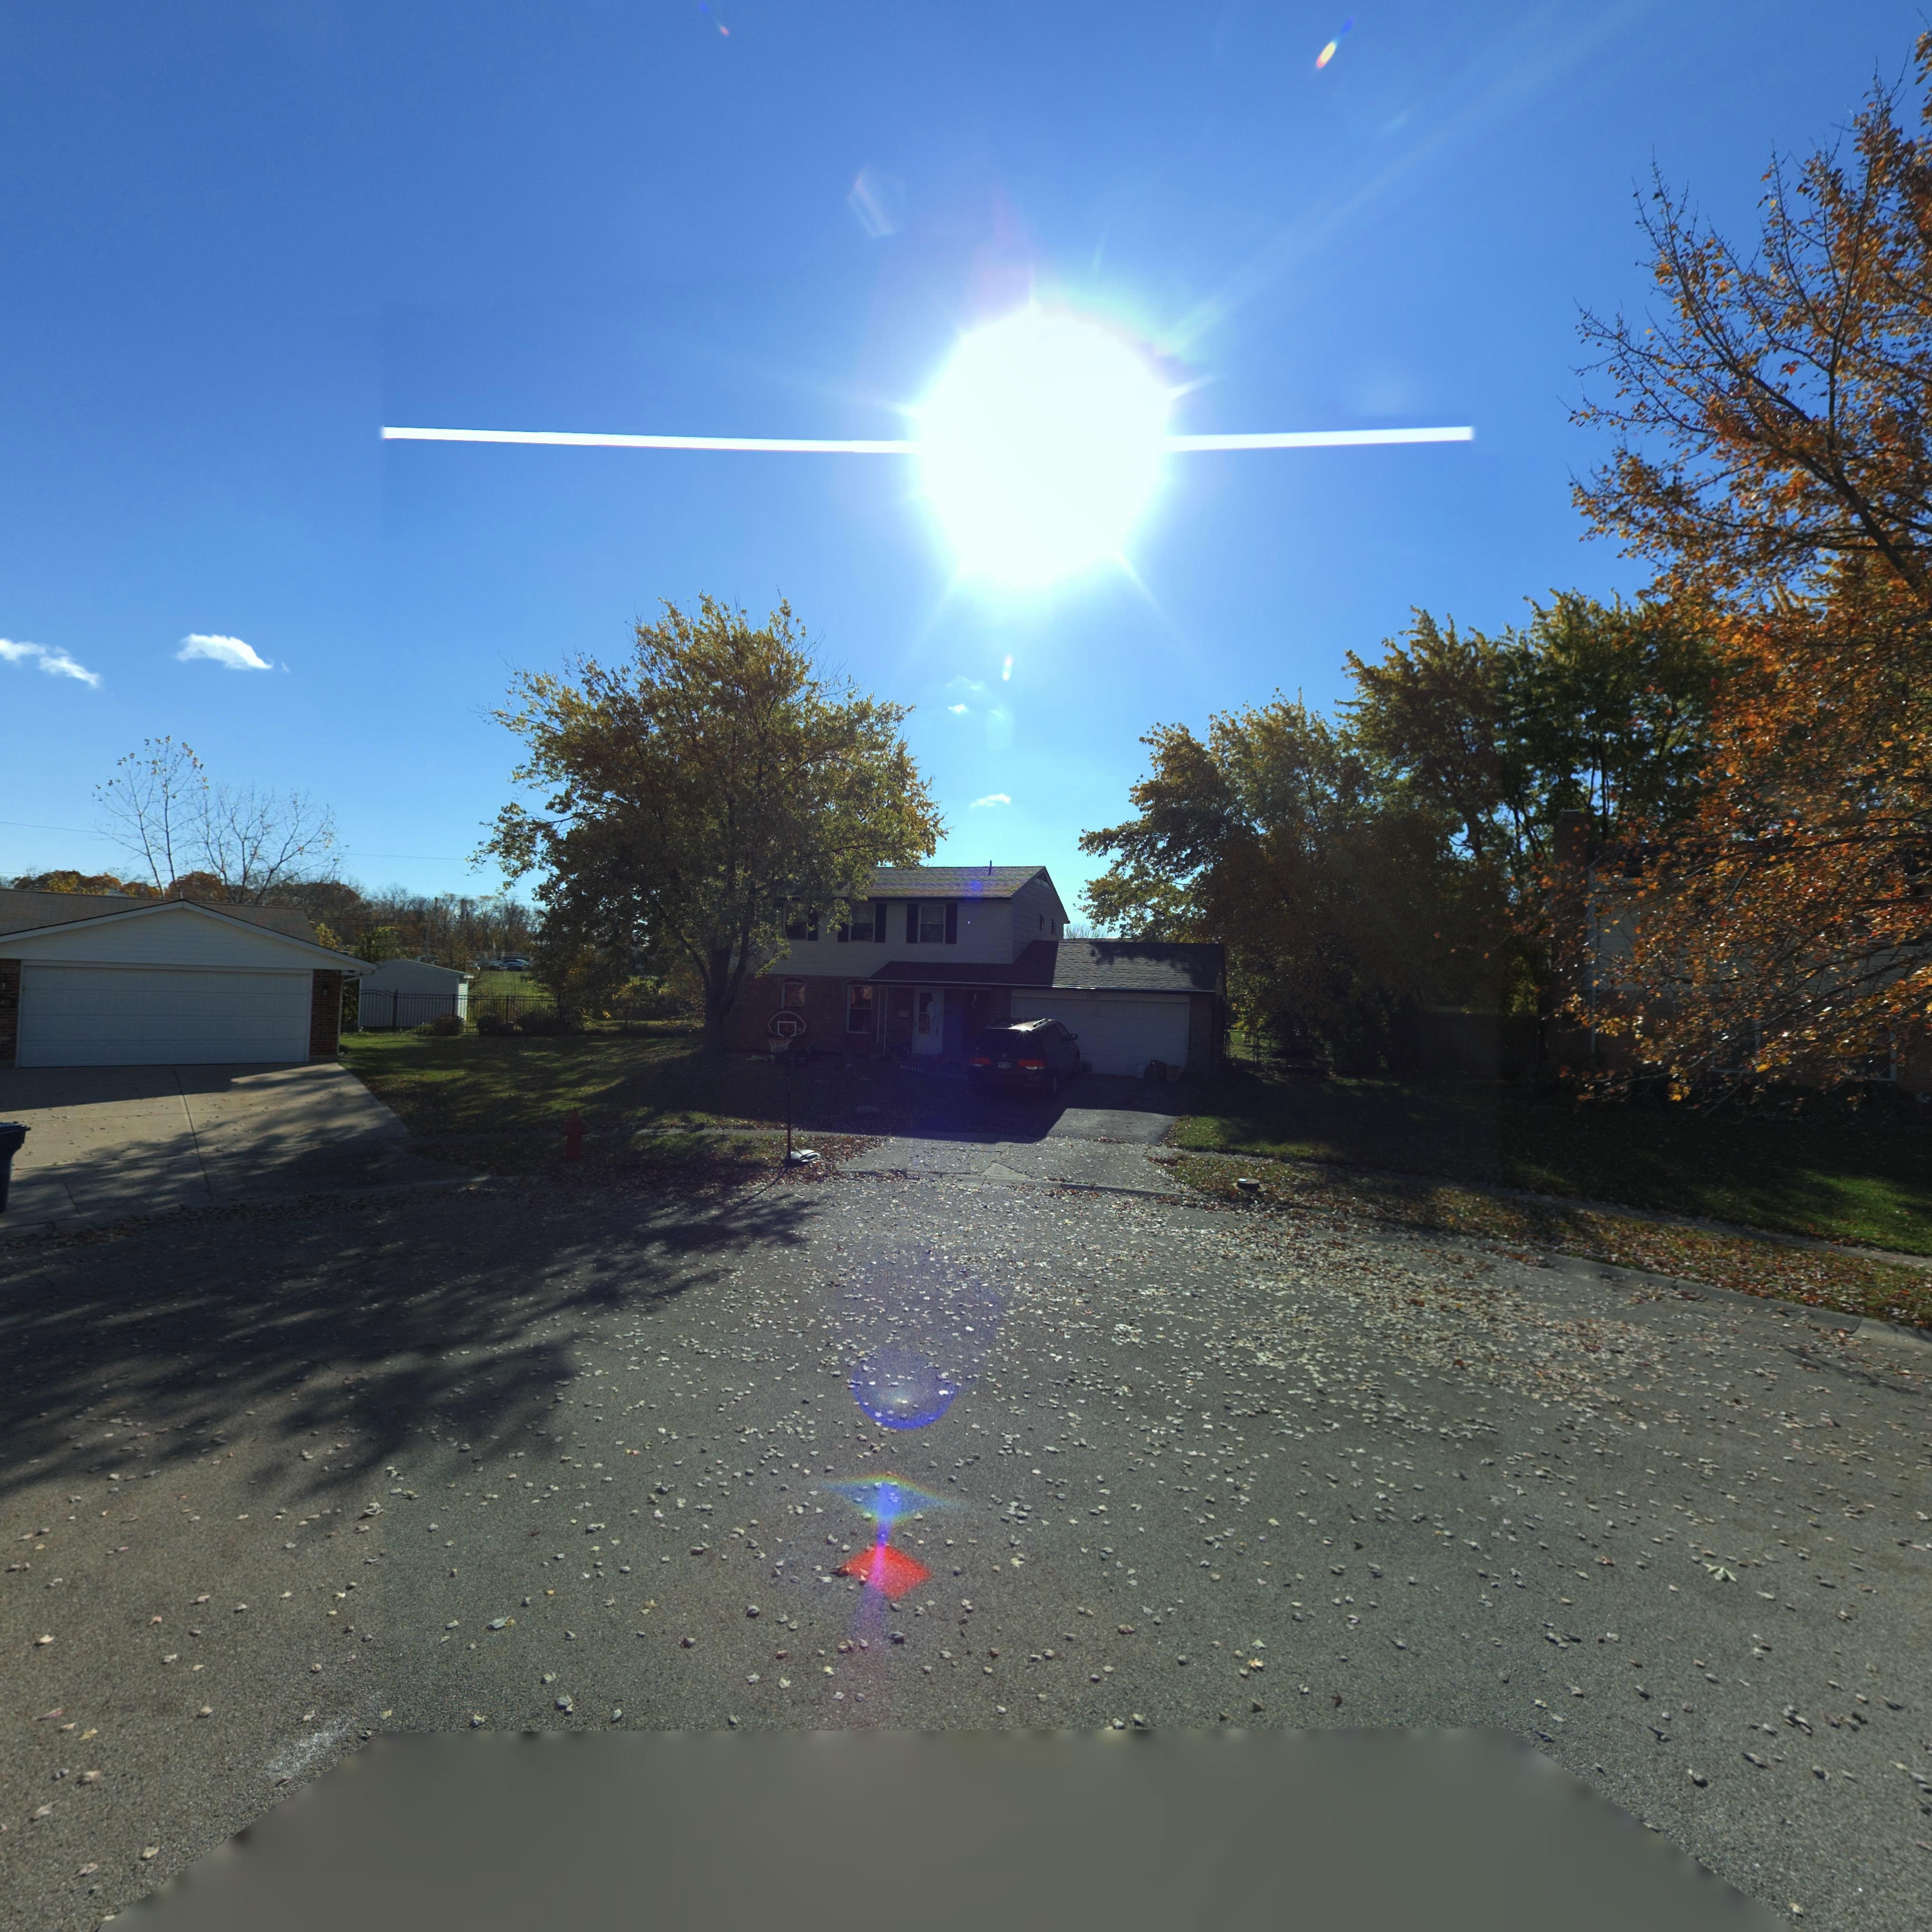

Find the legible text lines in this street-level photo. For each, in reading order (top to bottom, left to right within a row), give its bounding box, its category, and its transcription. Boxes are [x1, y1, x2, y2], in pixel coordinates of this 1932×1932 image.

[1085, 994, 1101, 1000] StreetNumber: 70*0